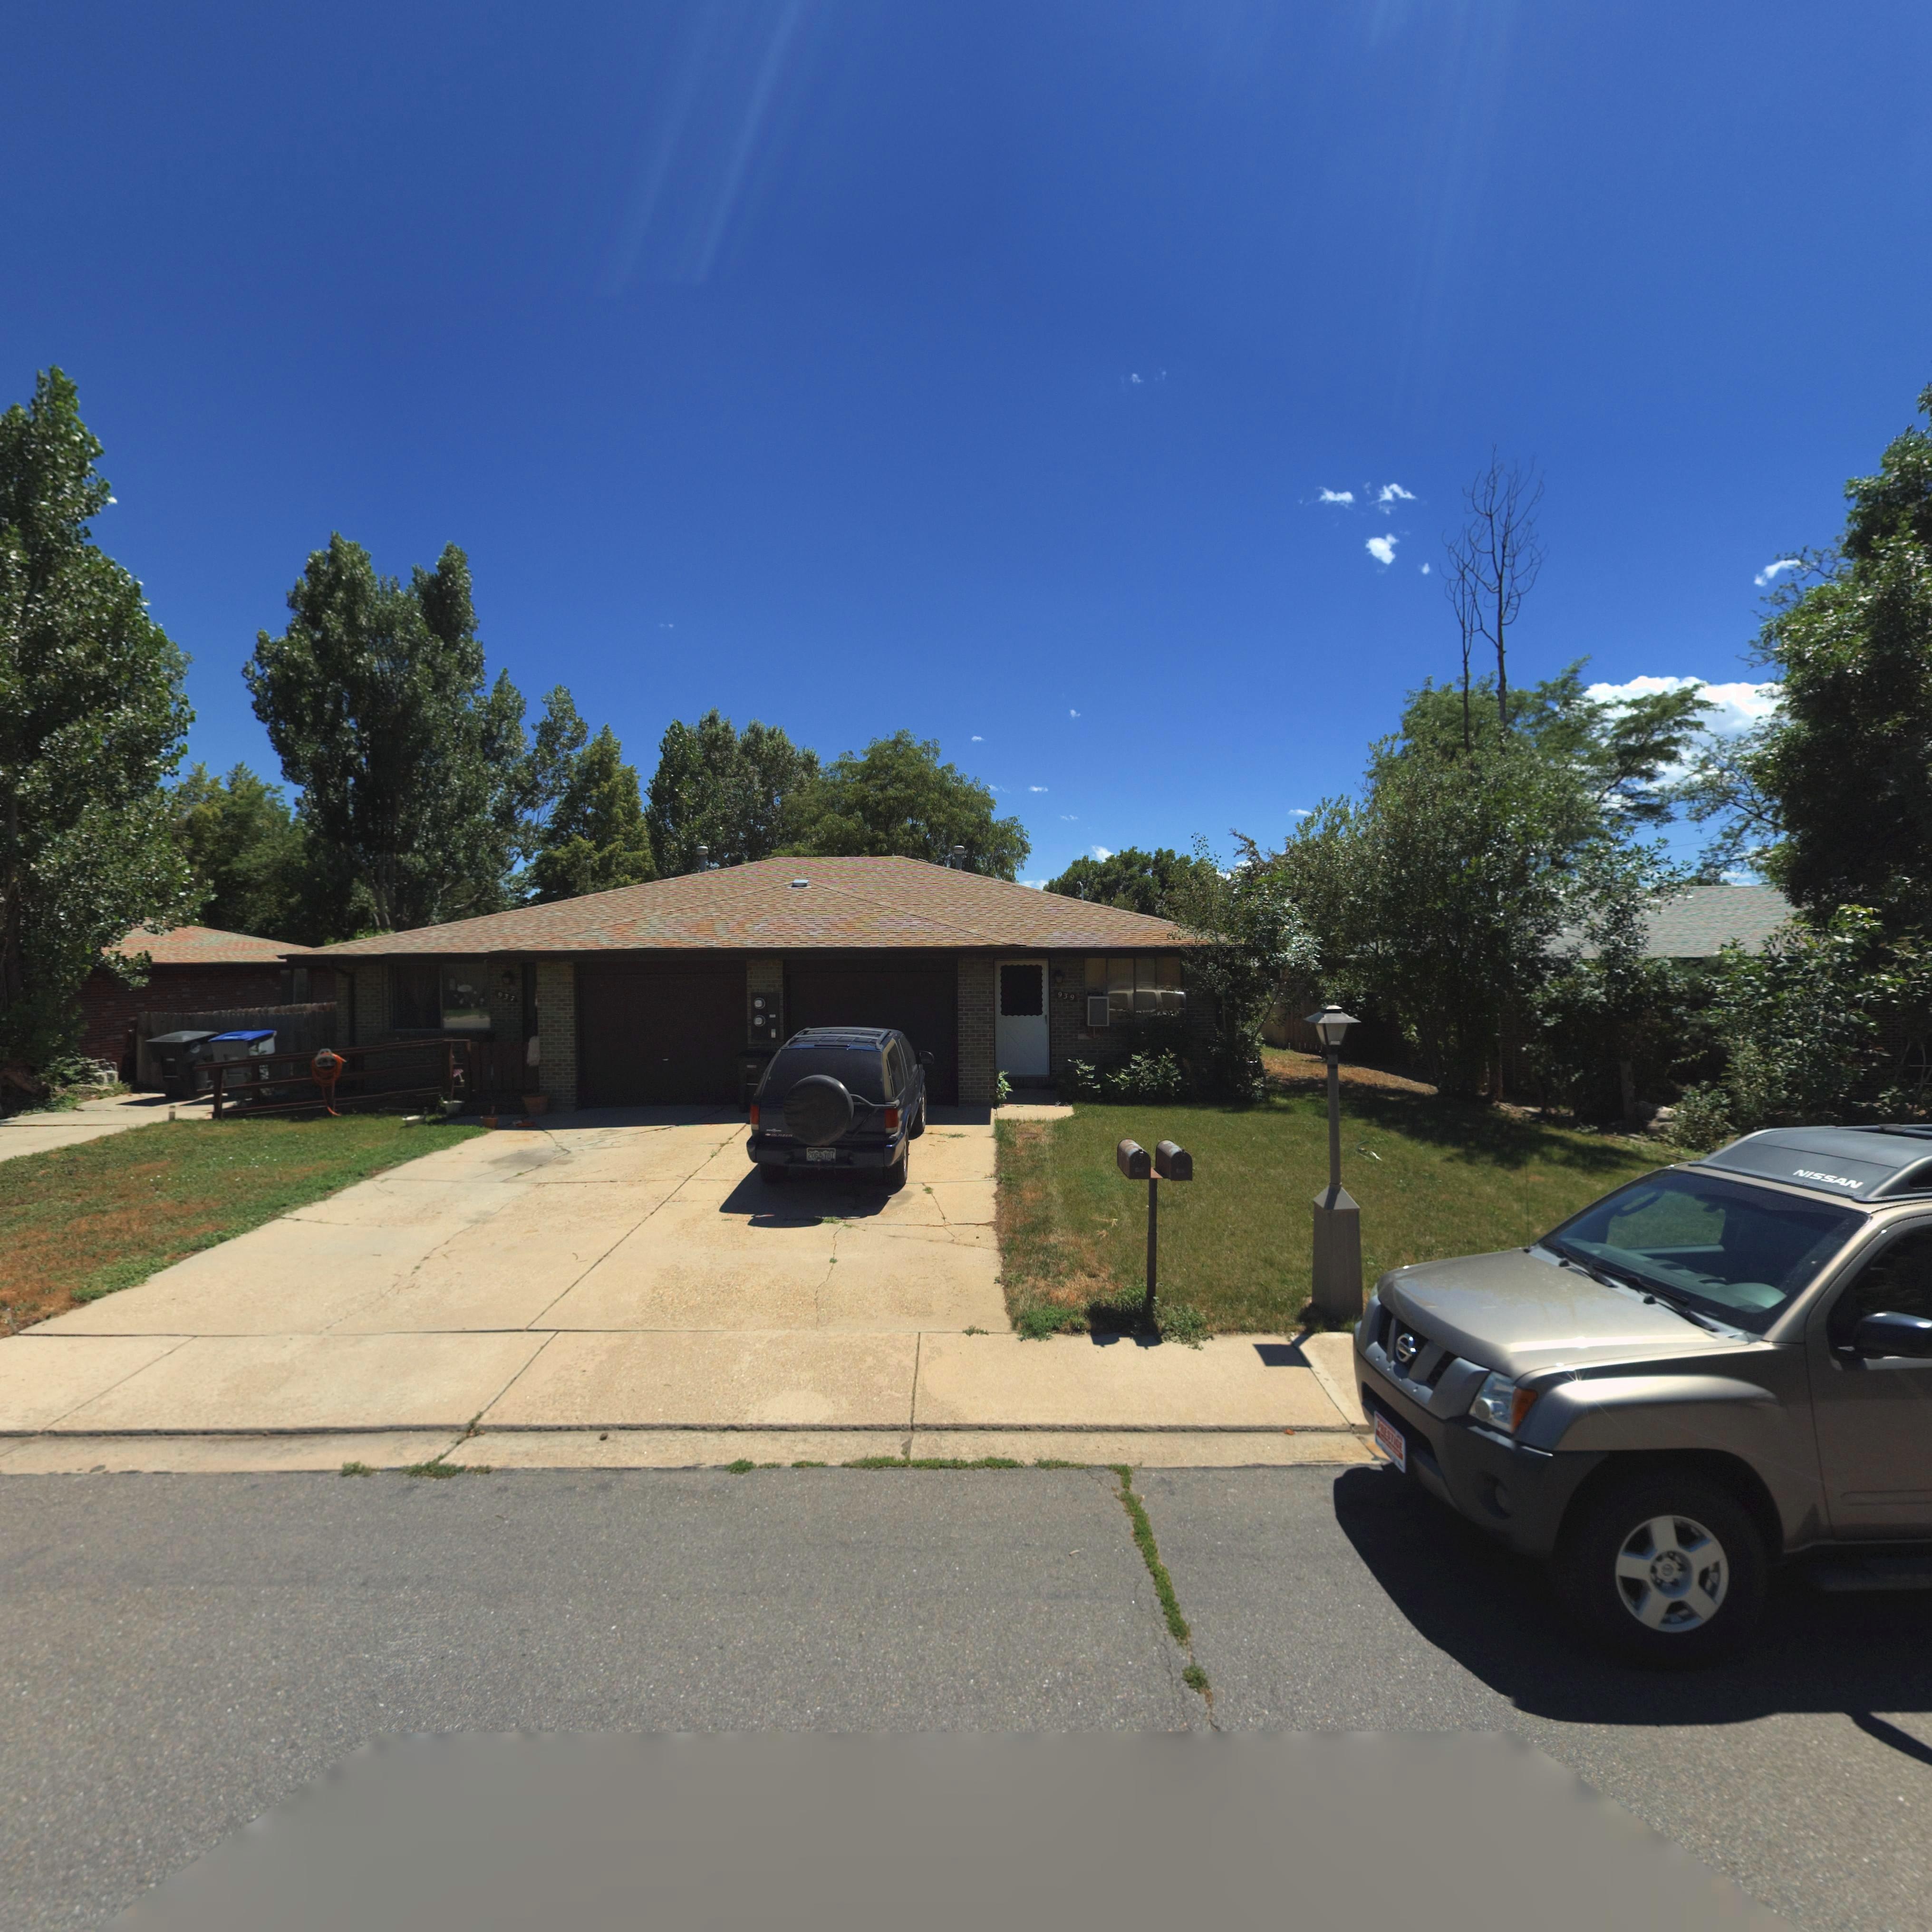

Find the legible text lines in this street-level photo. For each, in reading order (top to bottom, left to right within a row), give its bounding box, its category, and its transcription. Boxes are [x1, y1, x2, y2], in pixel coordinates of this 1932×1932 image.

[497, 992, 515, 1001] StreetNumber: 937
[1058, 992, 1074, 1001] StreetNumber: 939